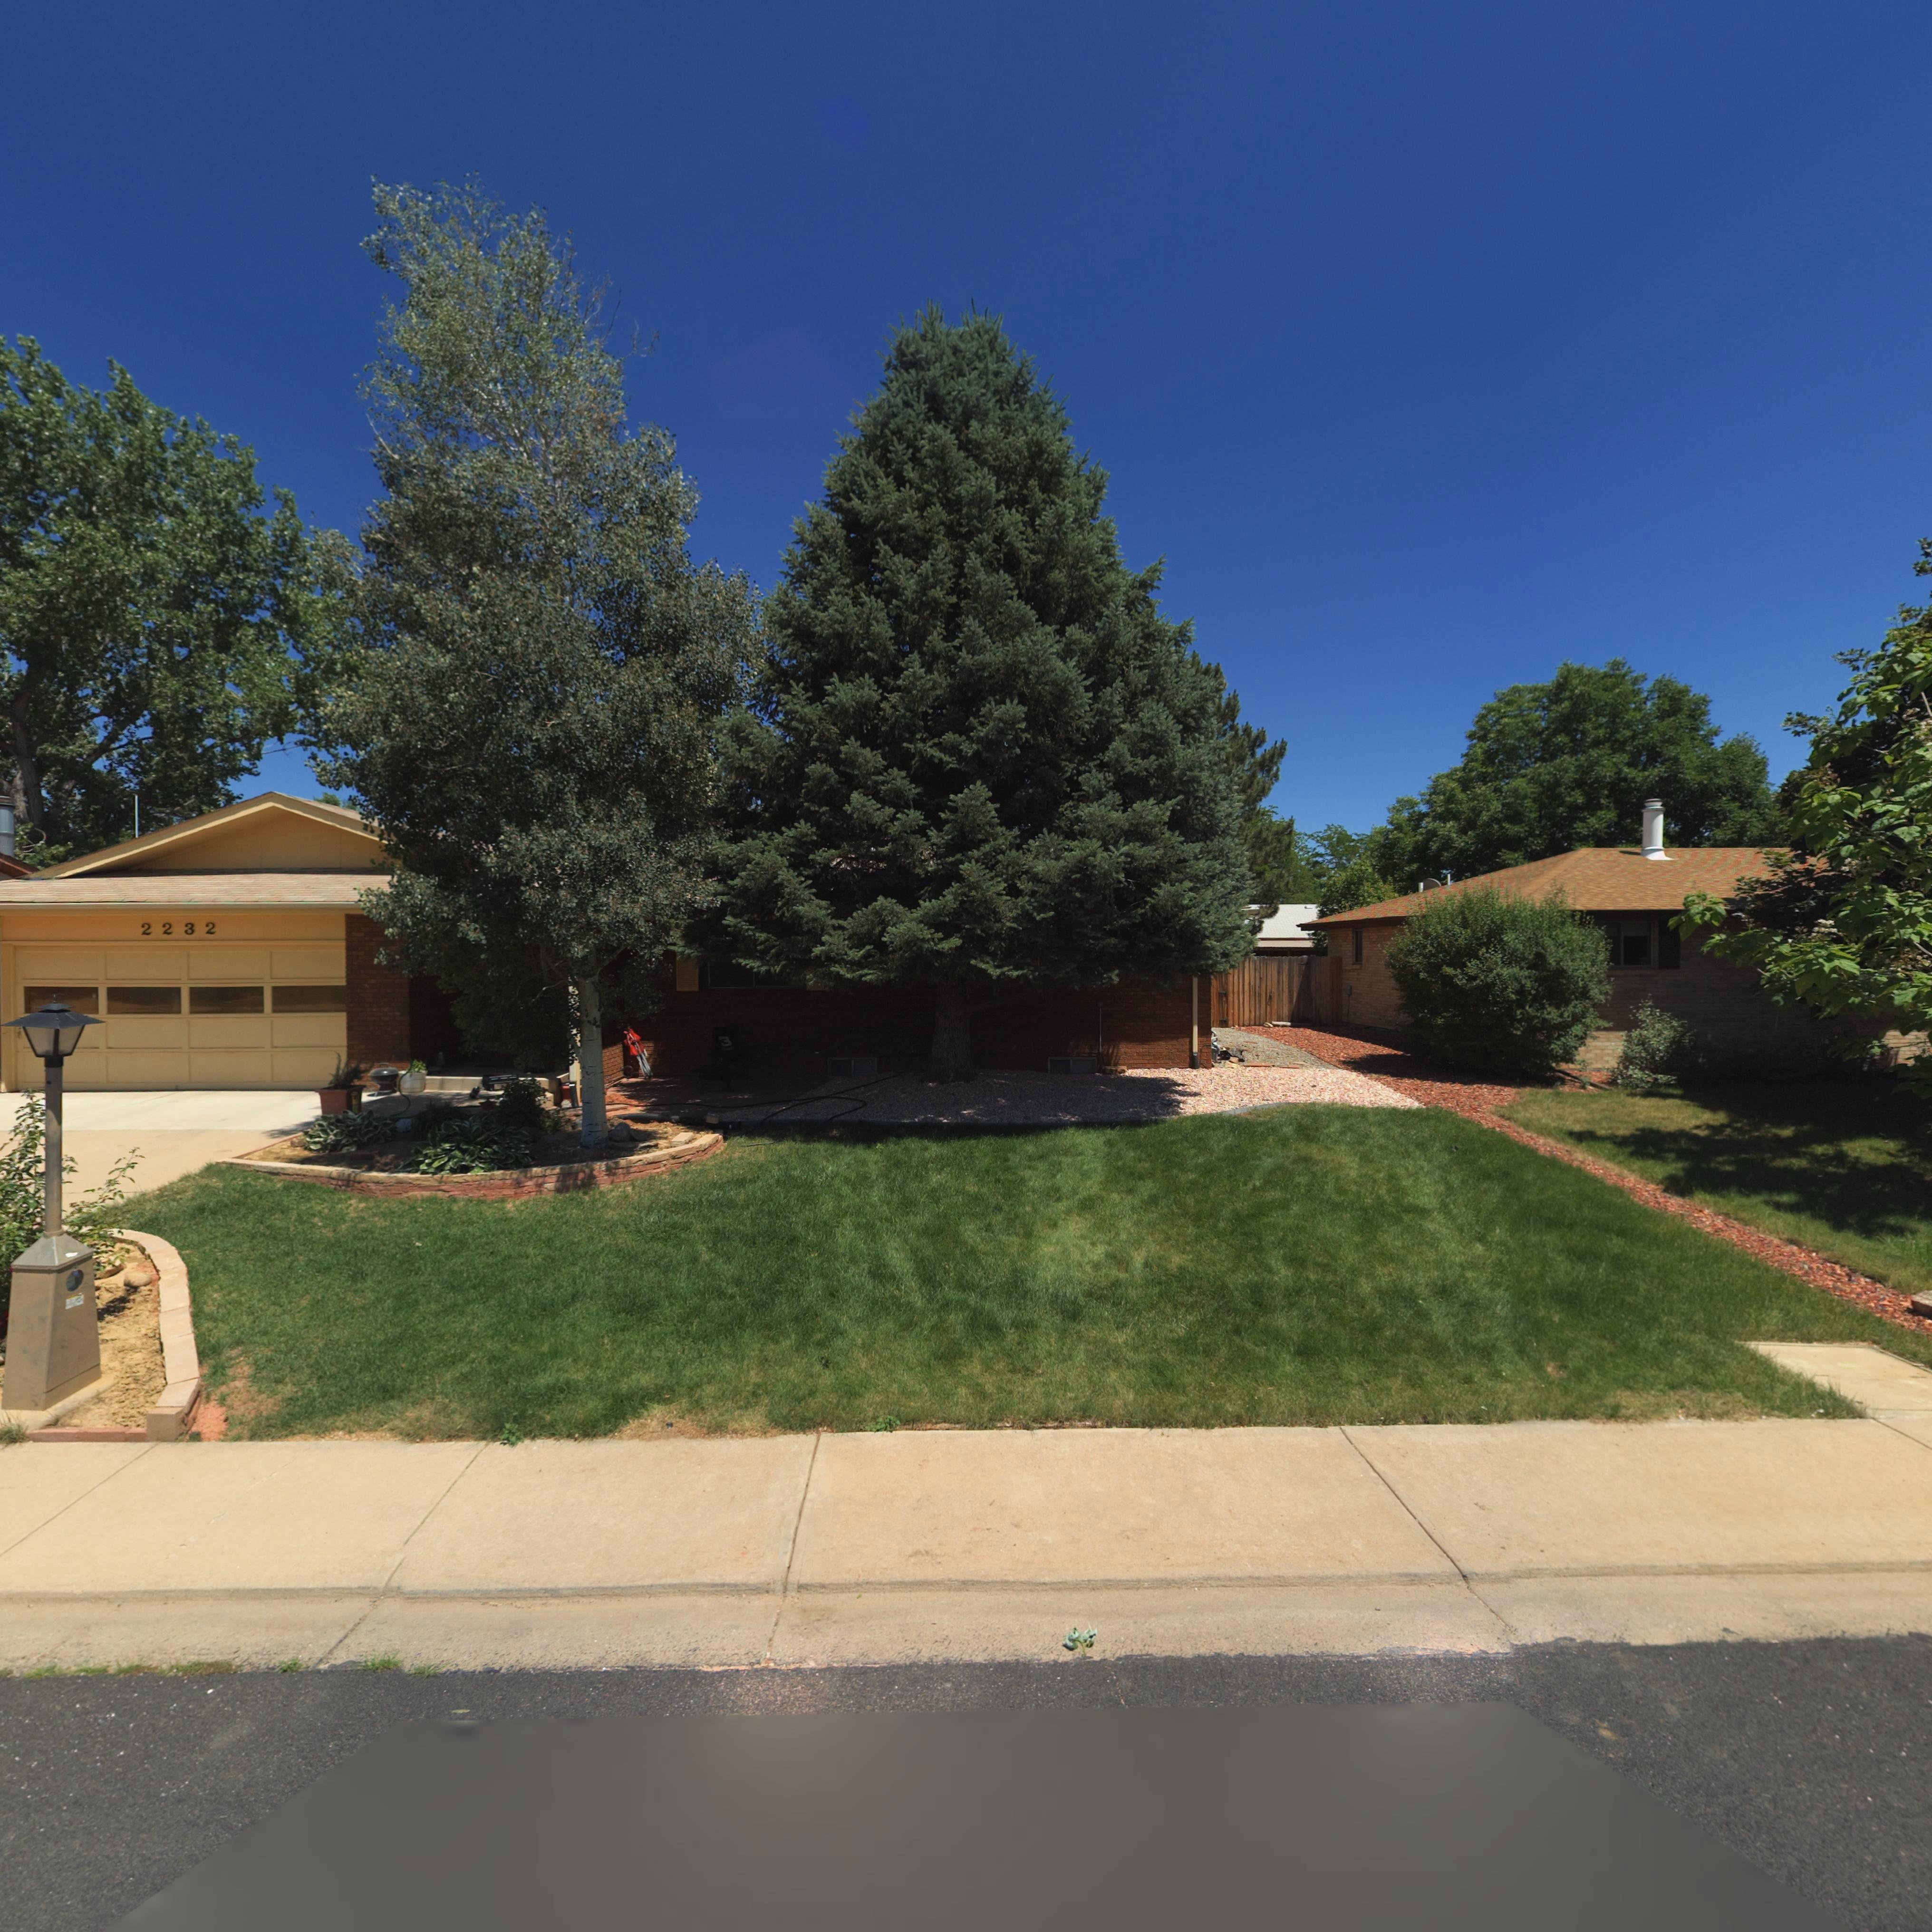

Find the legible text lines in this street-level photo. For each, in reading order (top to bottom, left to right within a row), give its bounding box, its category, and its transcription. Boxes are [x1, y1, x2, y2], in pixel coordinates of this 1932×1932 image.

[140, 921, 216, 935] StreetNumber: 2232